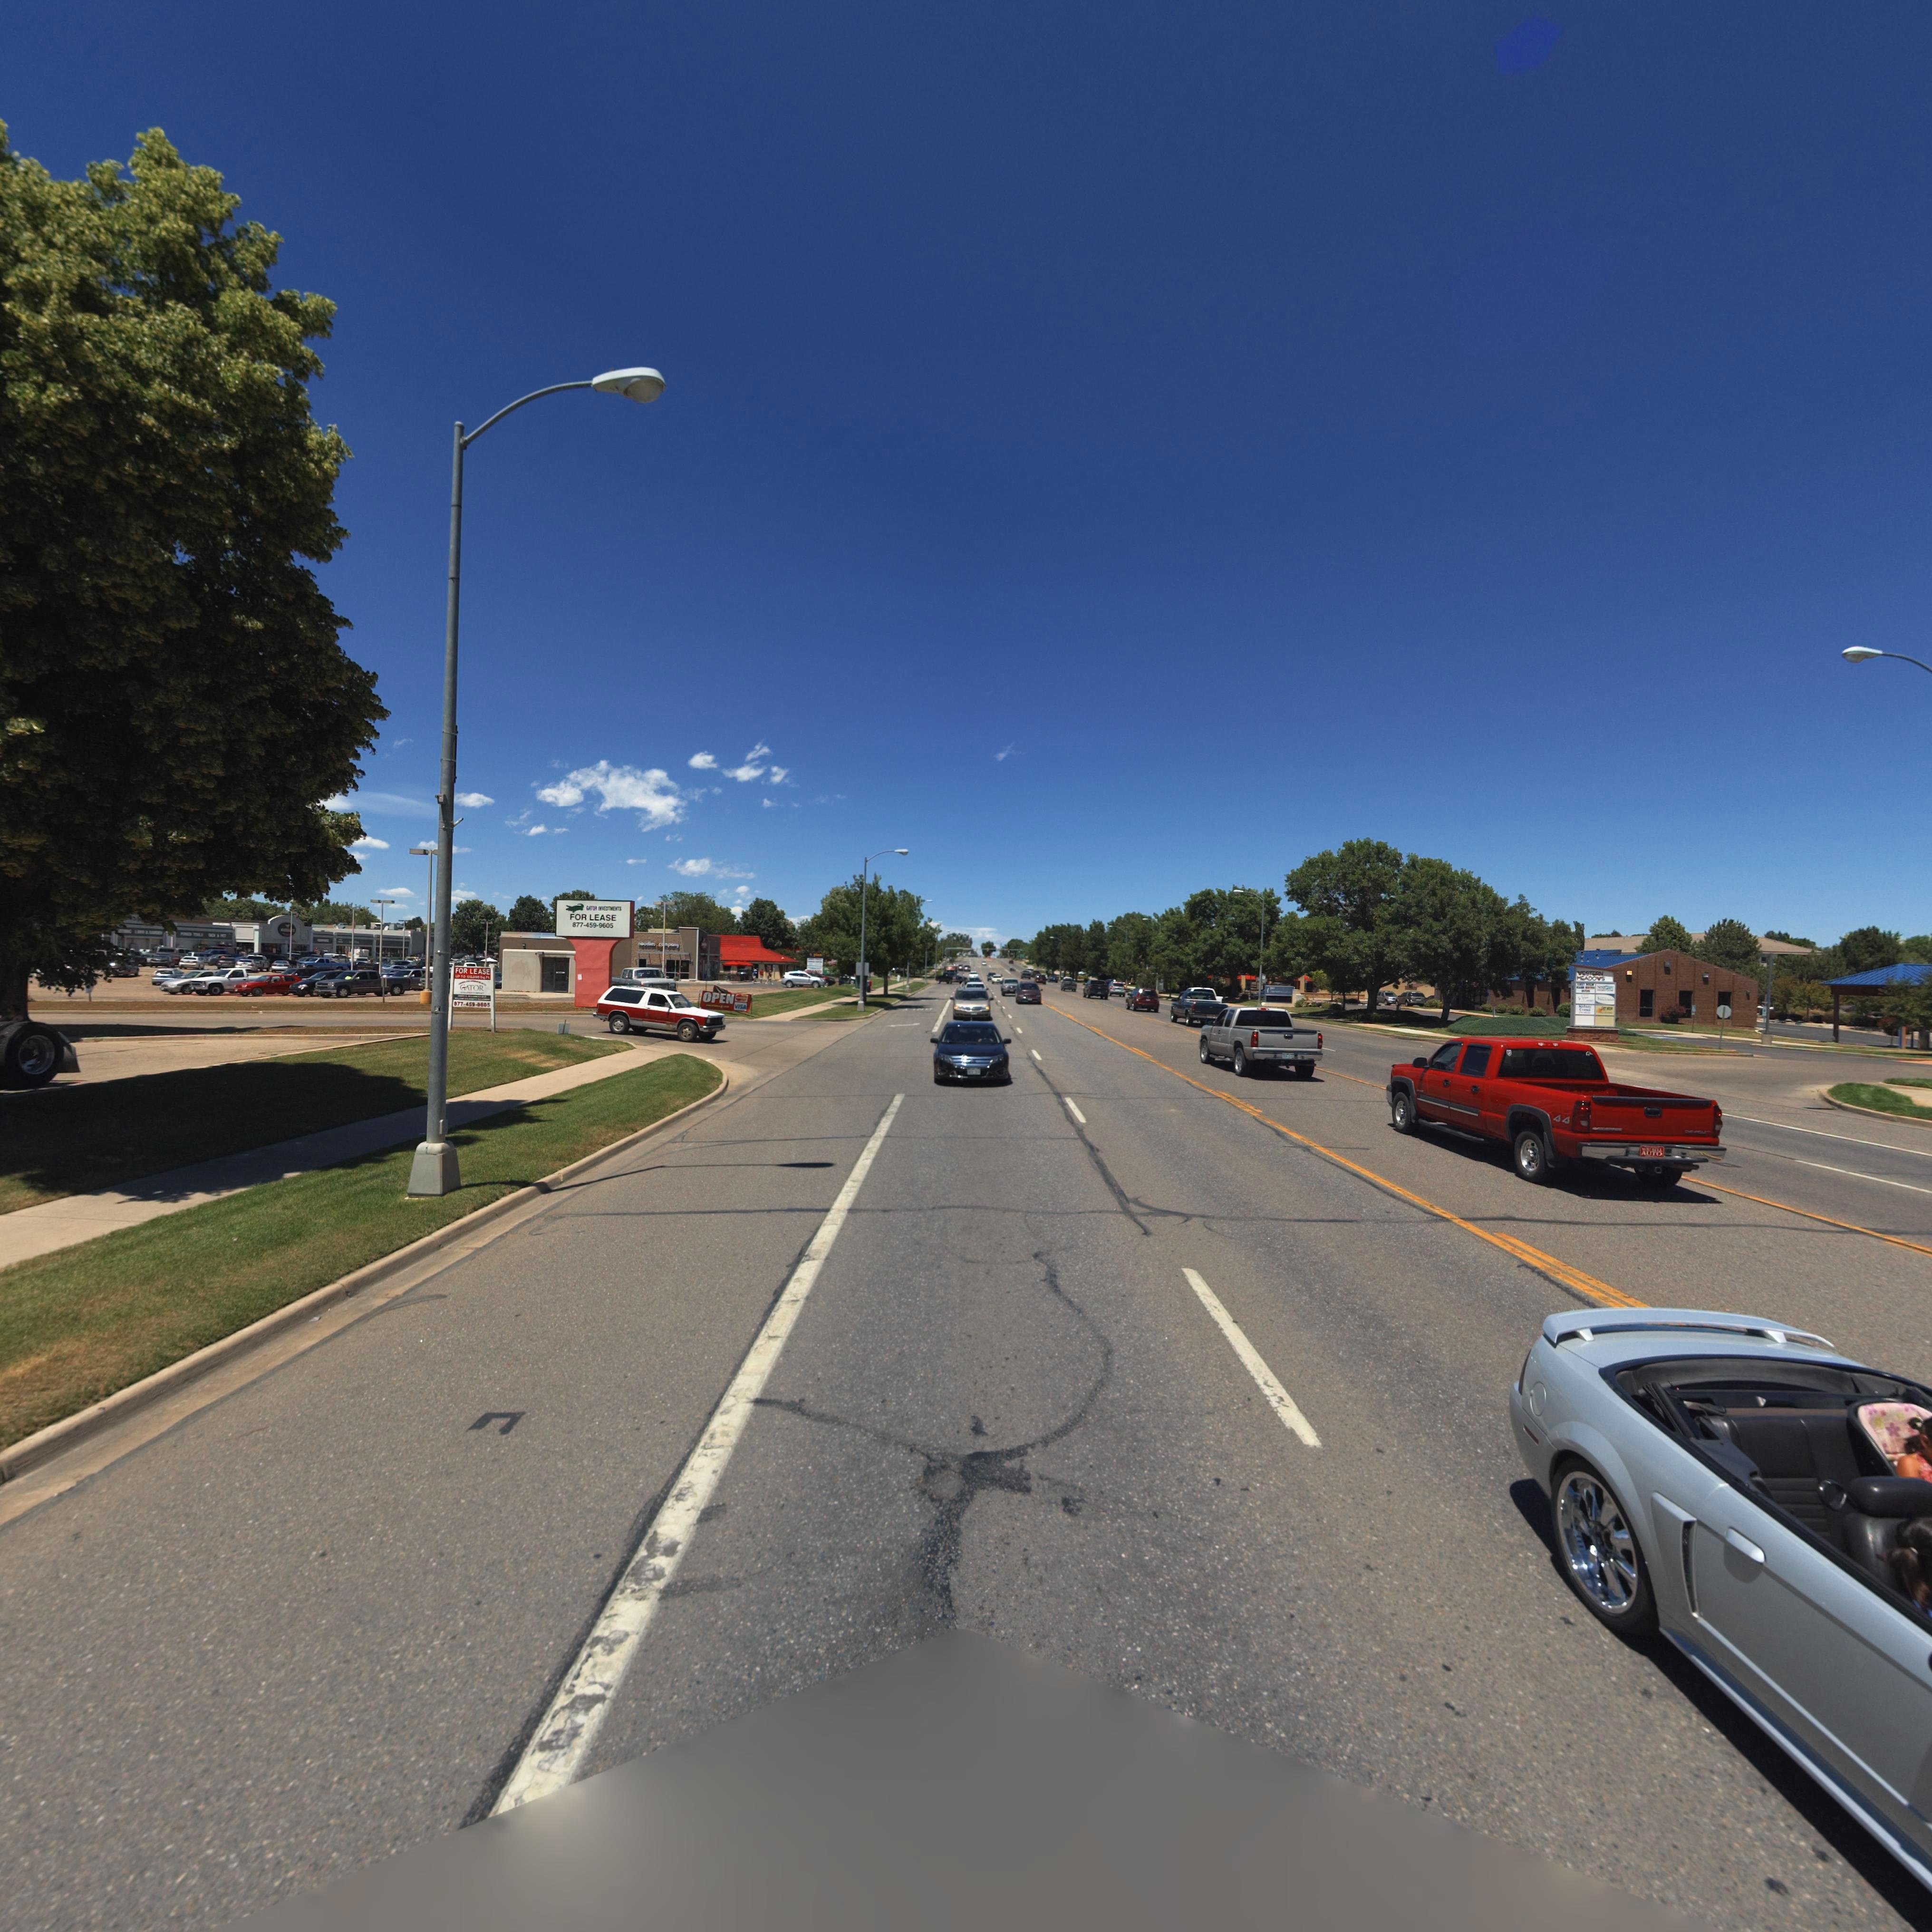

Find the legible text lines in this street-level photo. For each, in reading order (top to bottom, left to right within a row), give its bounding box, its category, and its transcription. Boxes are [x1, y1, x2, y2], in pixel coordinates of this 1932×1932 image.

[638, 941, 679, 948] BusinessName: *ood****c**p**y
[1571, 985, 1574, 1005] StreetNumber: ***4